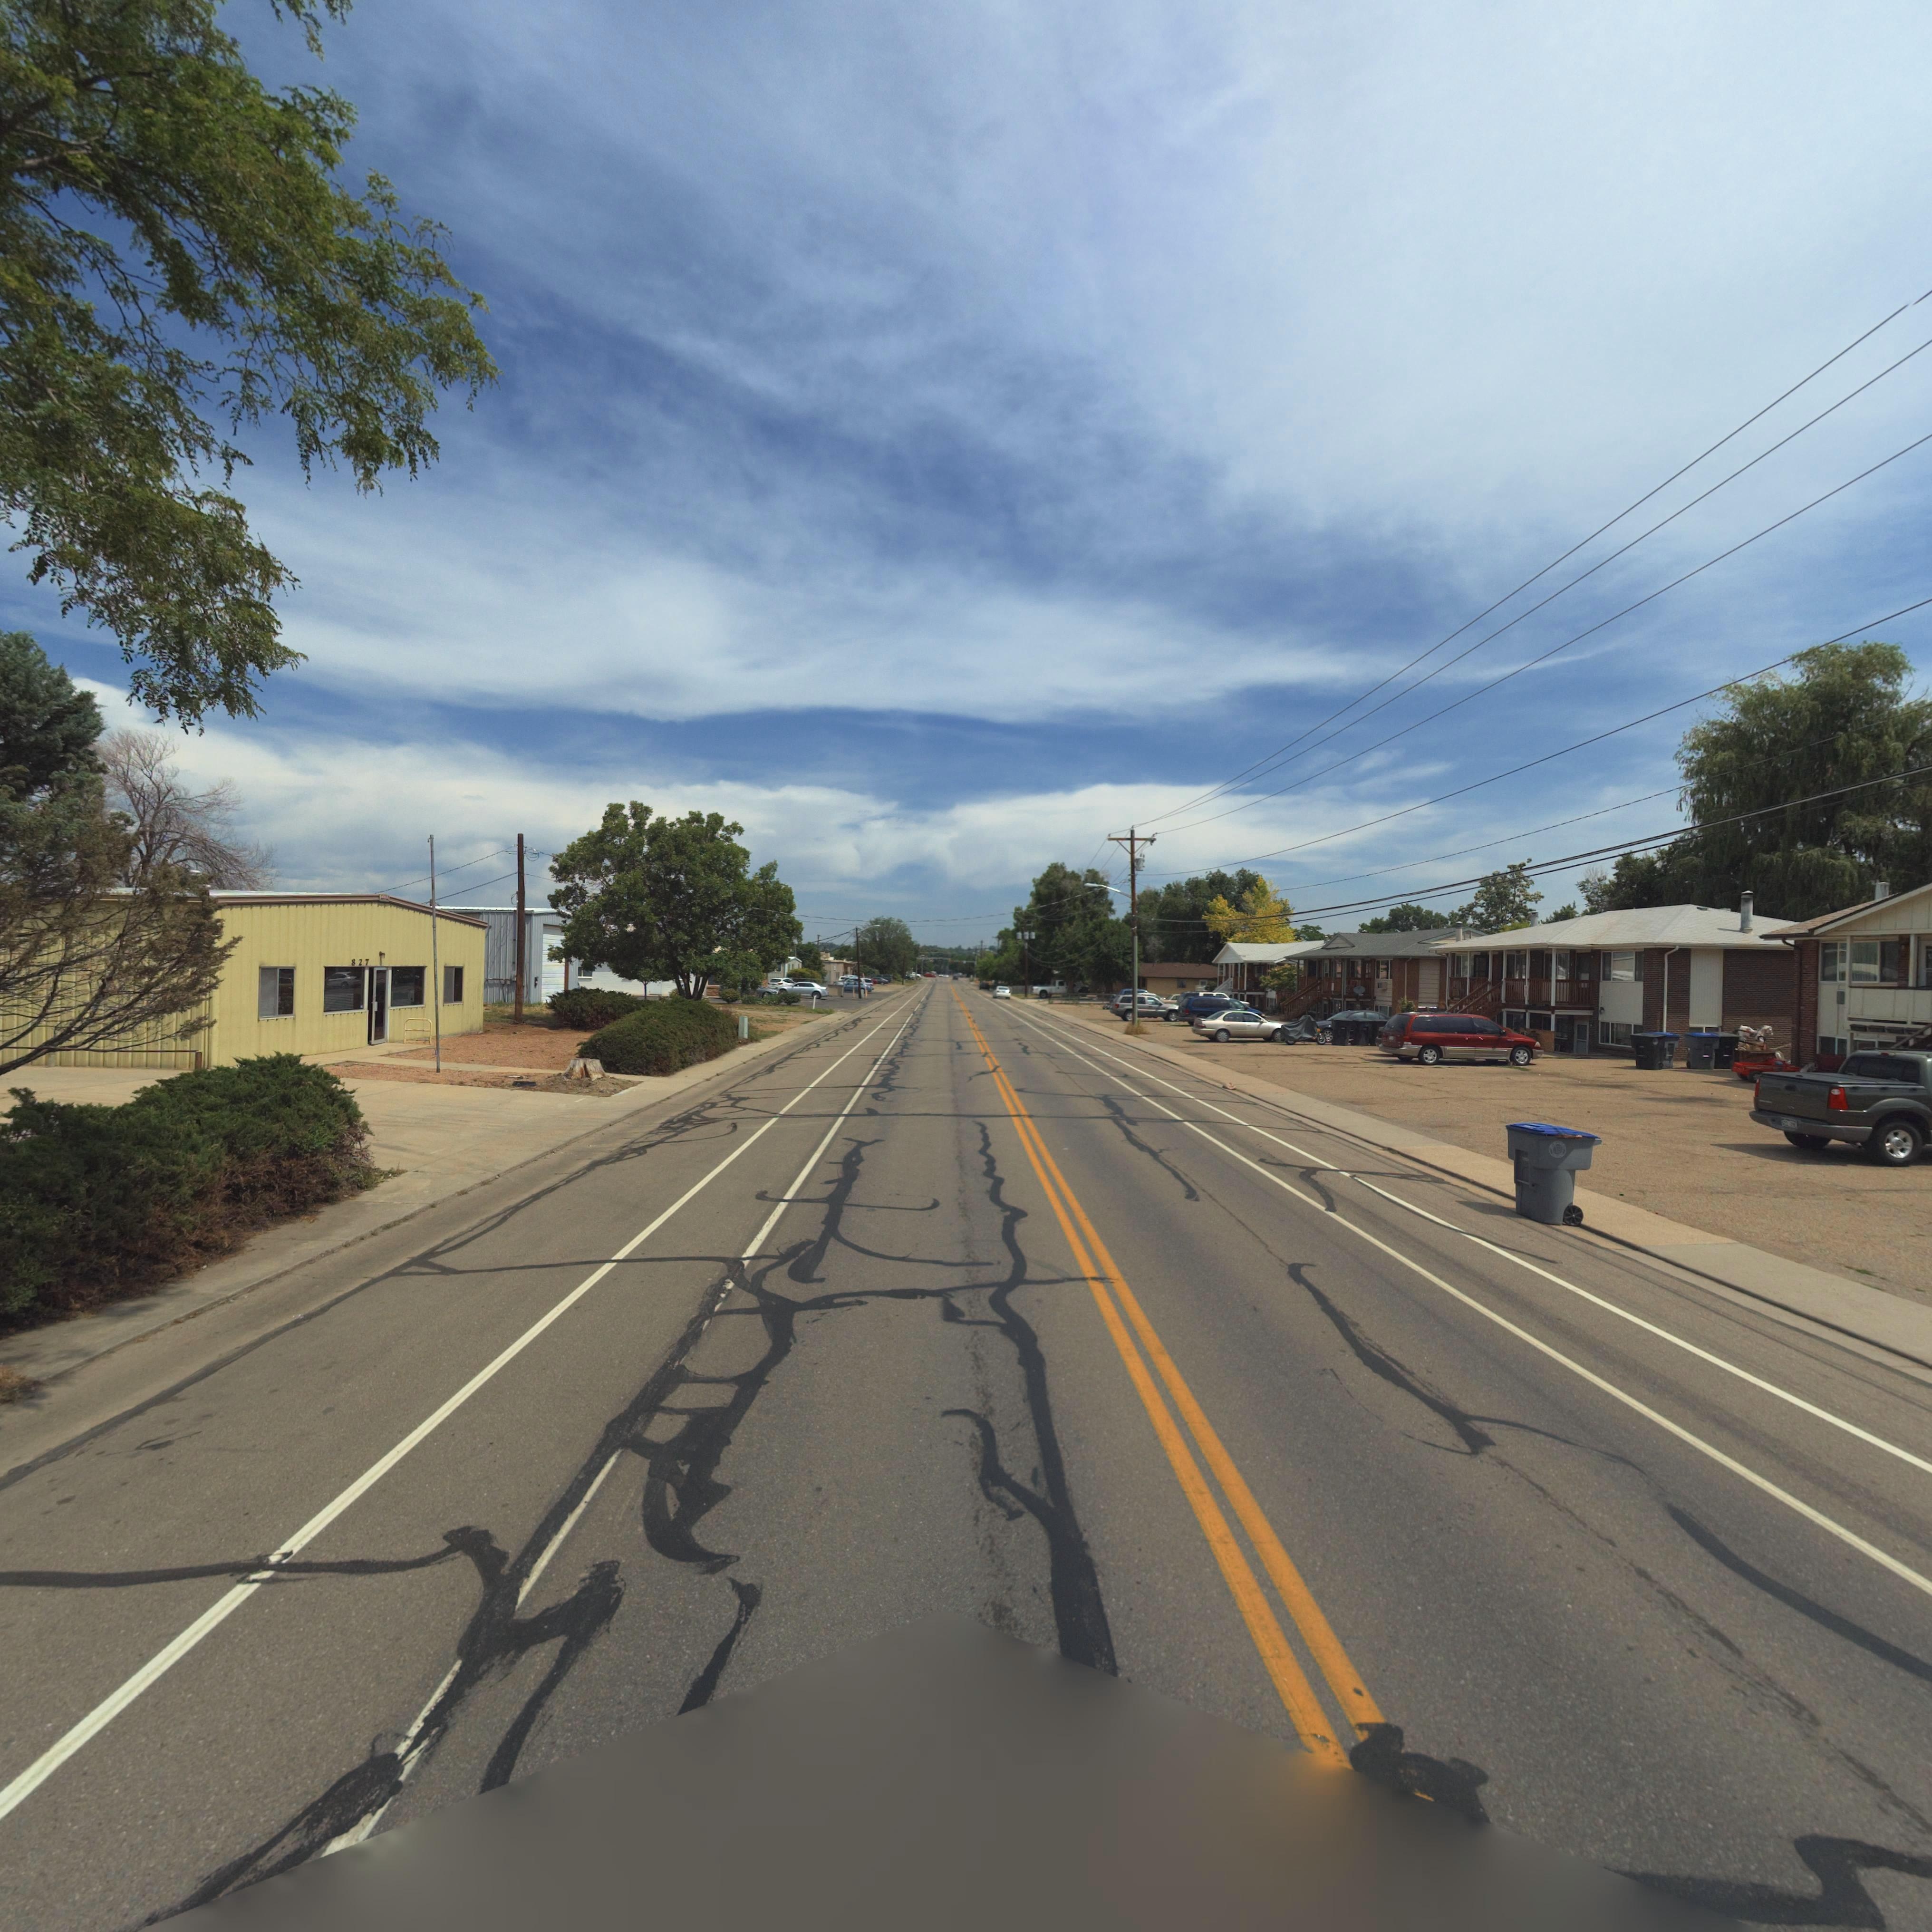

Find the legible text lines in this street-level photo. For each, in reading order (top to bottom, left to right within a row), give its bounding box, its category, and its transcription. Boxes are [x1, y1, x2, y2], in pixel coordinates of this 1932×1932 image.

[351, 958, 370, 966] StreetNumber: 827